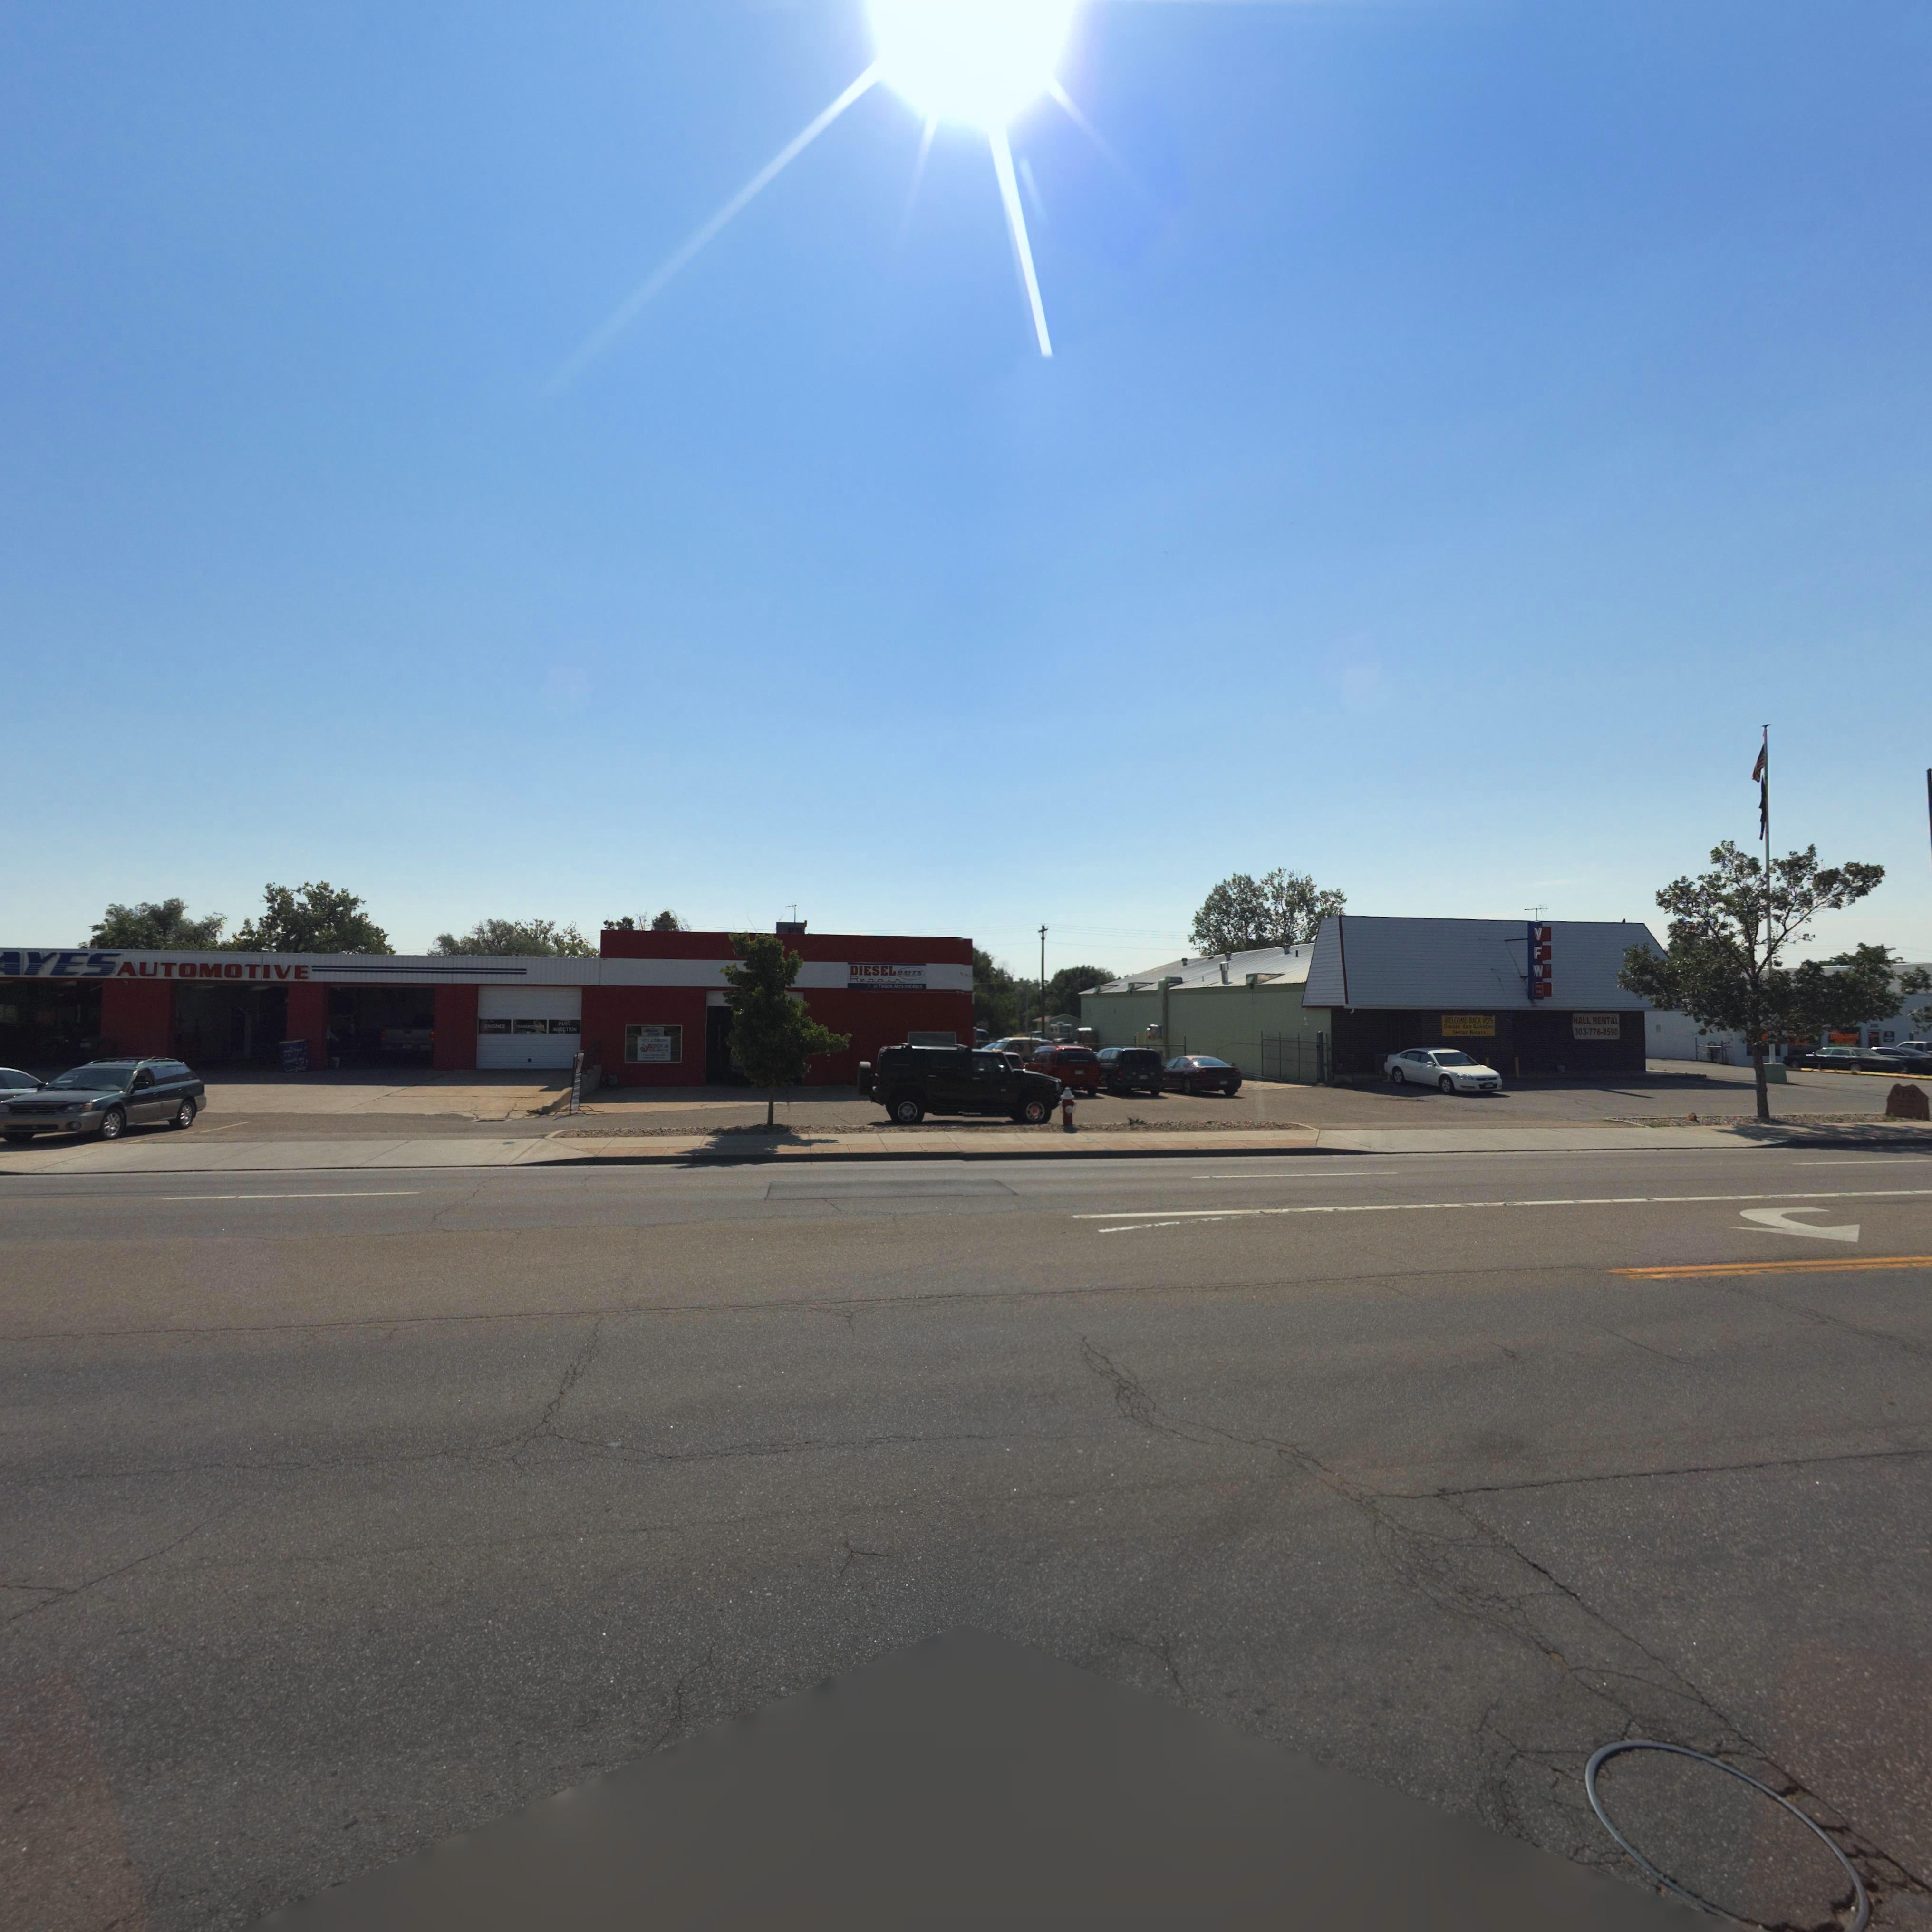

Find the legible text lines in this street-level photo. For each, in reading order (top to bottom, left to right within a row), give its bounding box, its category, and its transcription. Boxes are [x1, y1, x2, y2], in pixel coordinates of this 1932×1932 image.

[21, 950, 312, 980] BusinessName: YESAUTOMOTIVE